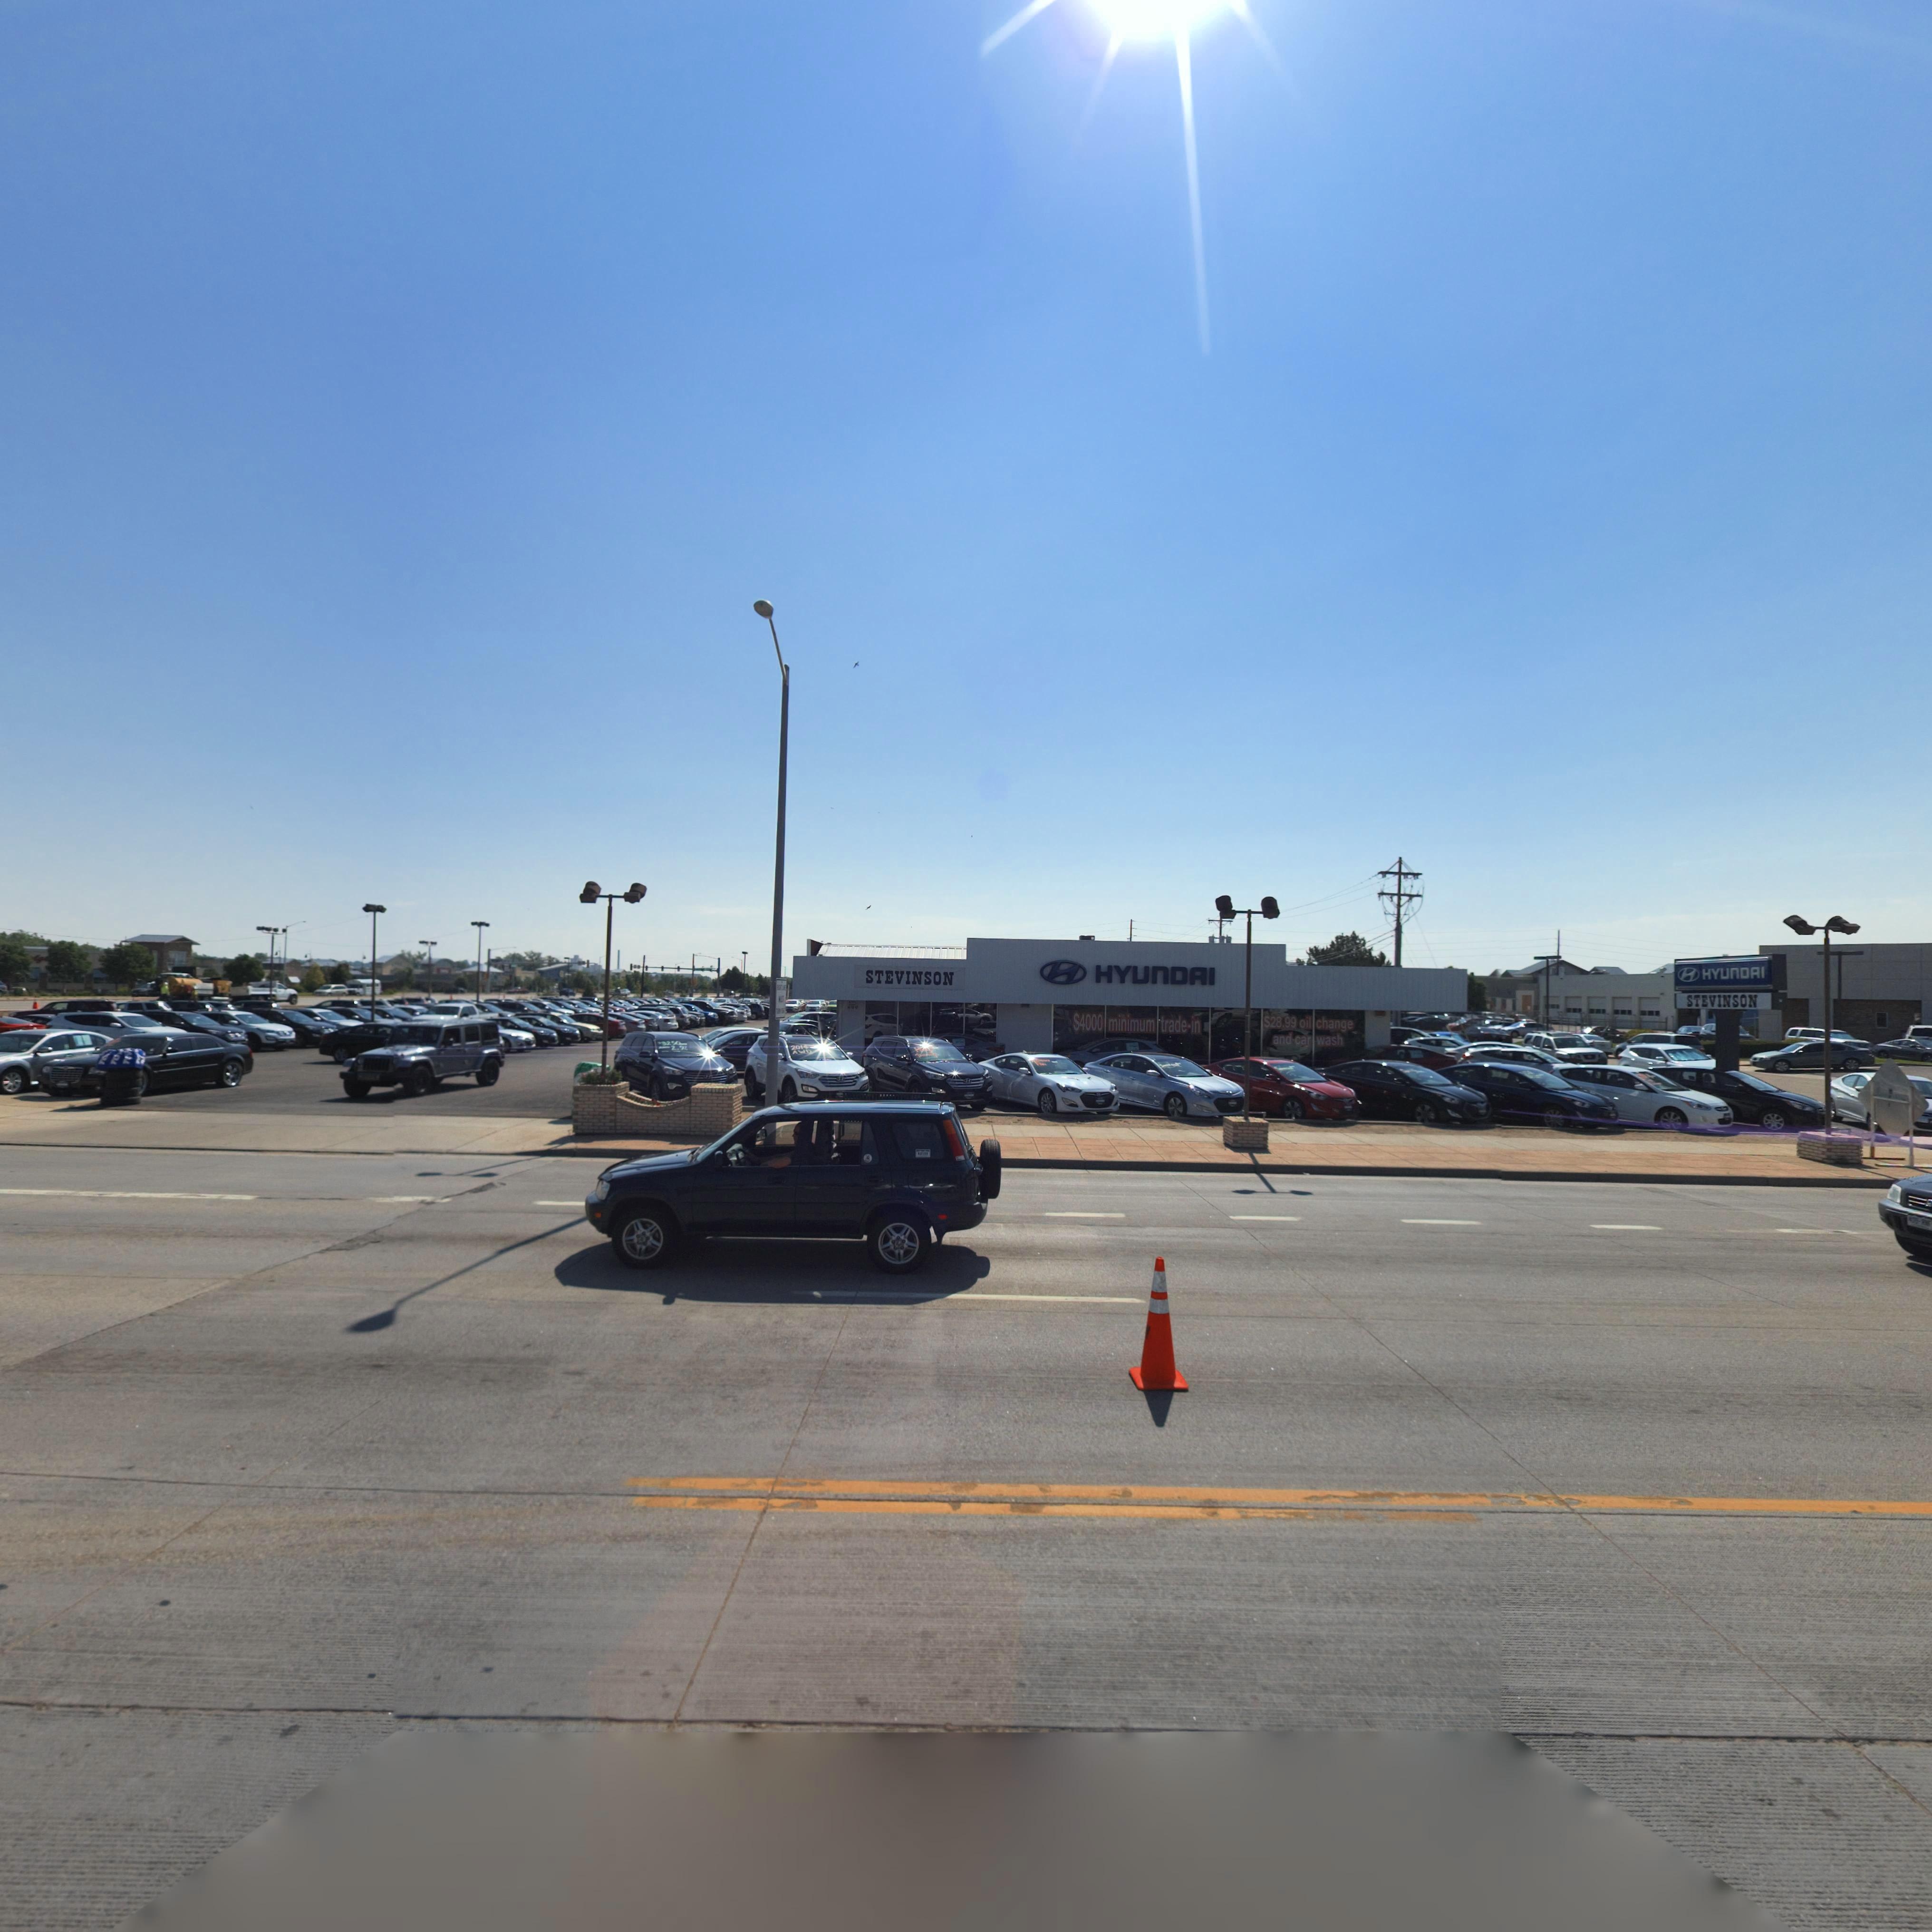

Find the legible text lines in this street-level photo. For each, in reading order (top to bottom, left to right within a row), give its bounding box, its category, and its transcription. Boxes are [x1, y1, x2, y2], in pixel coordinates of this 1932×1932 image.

[865, 969, 954, 986] BusinessName: STEVINSON
[1095, 964, 1216, 985] BusinessName: HYUnDAI
[1701, 965, 1766, 980] BusinessName: HYUnDAI
[1687, 994, 1758, 1008] BusinessName: STEVINSON